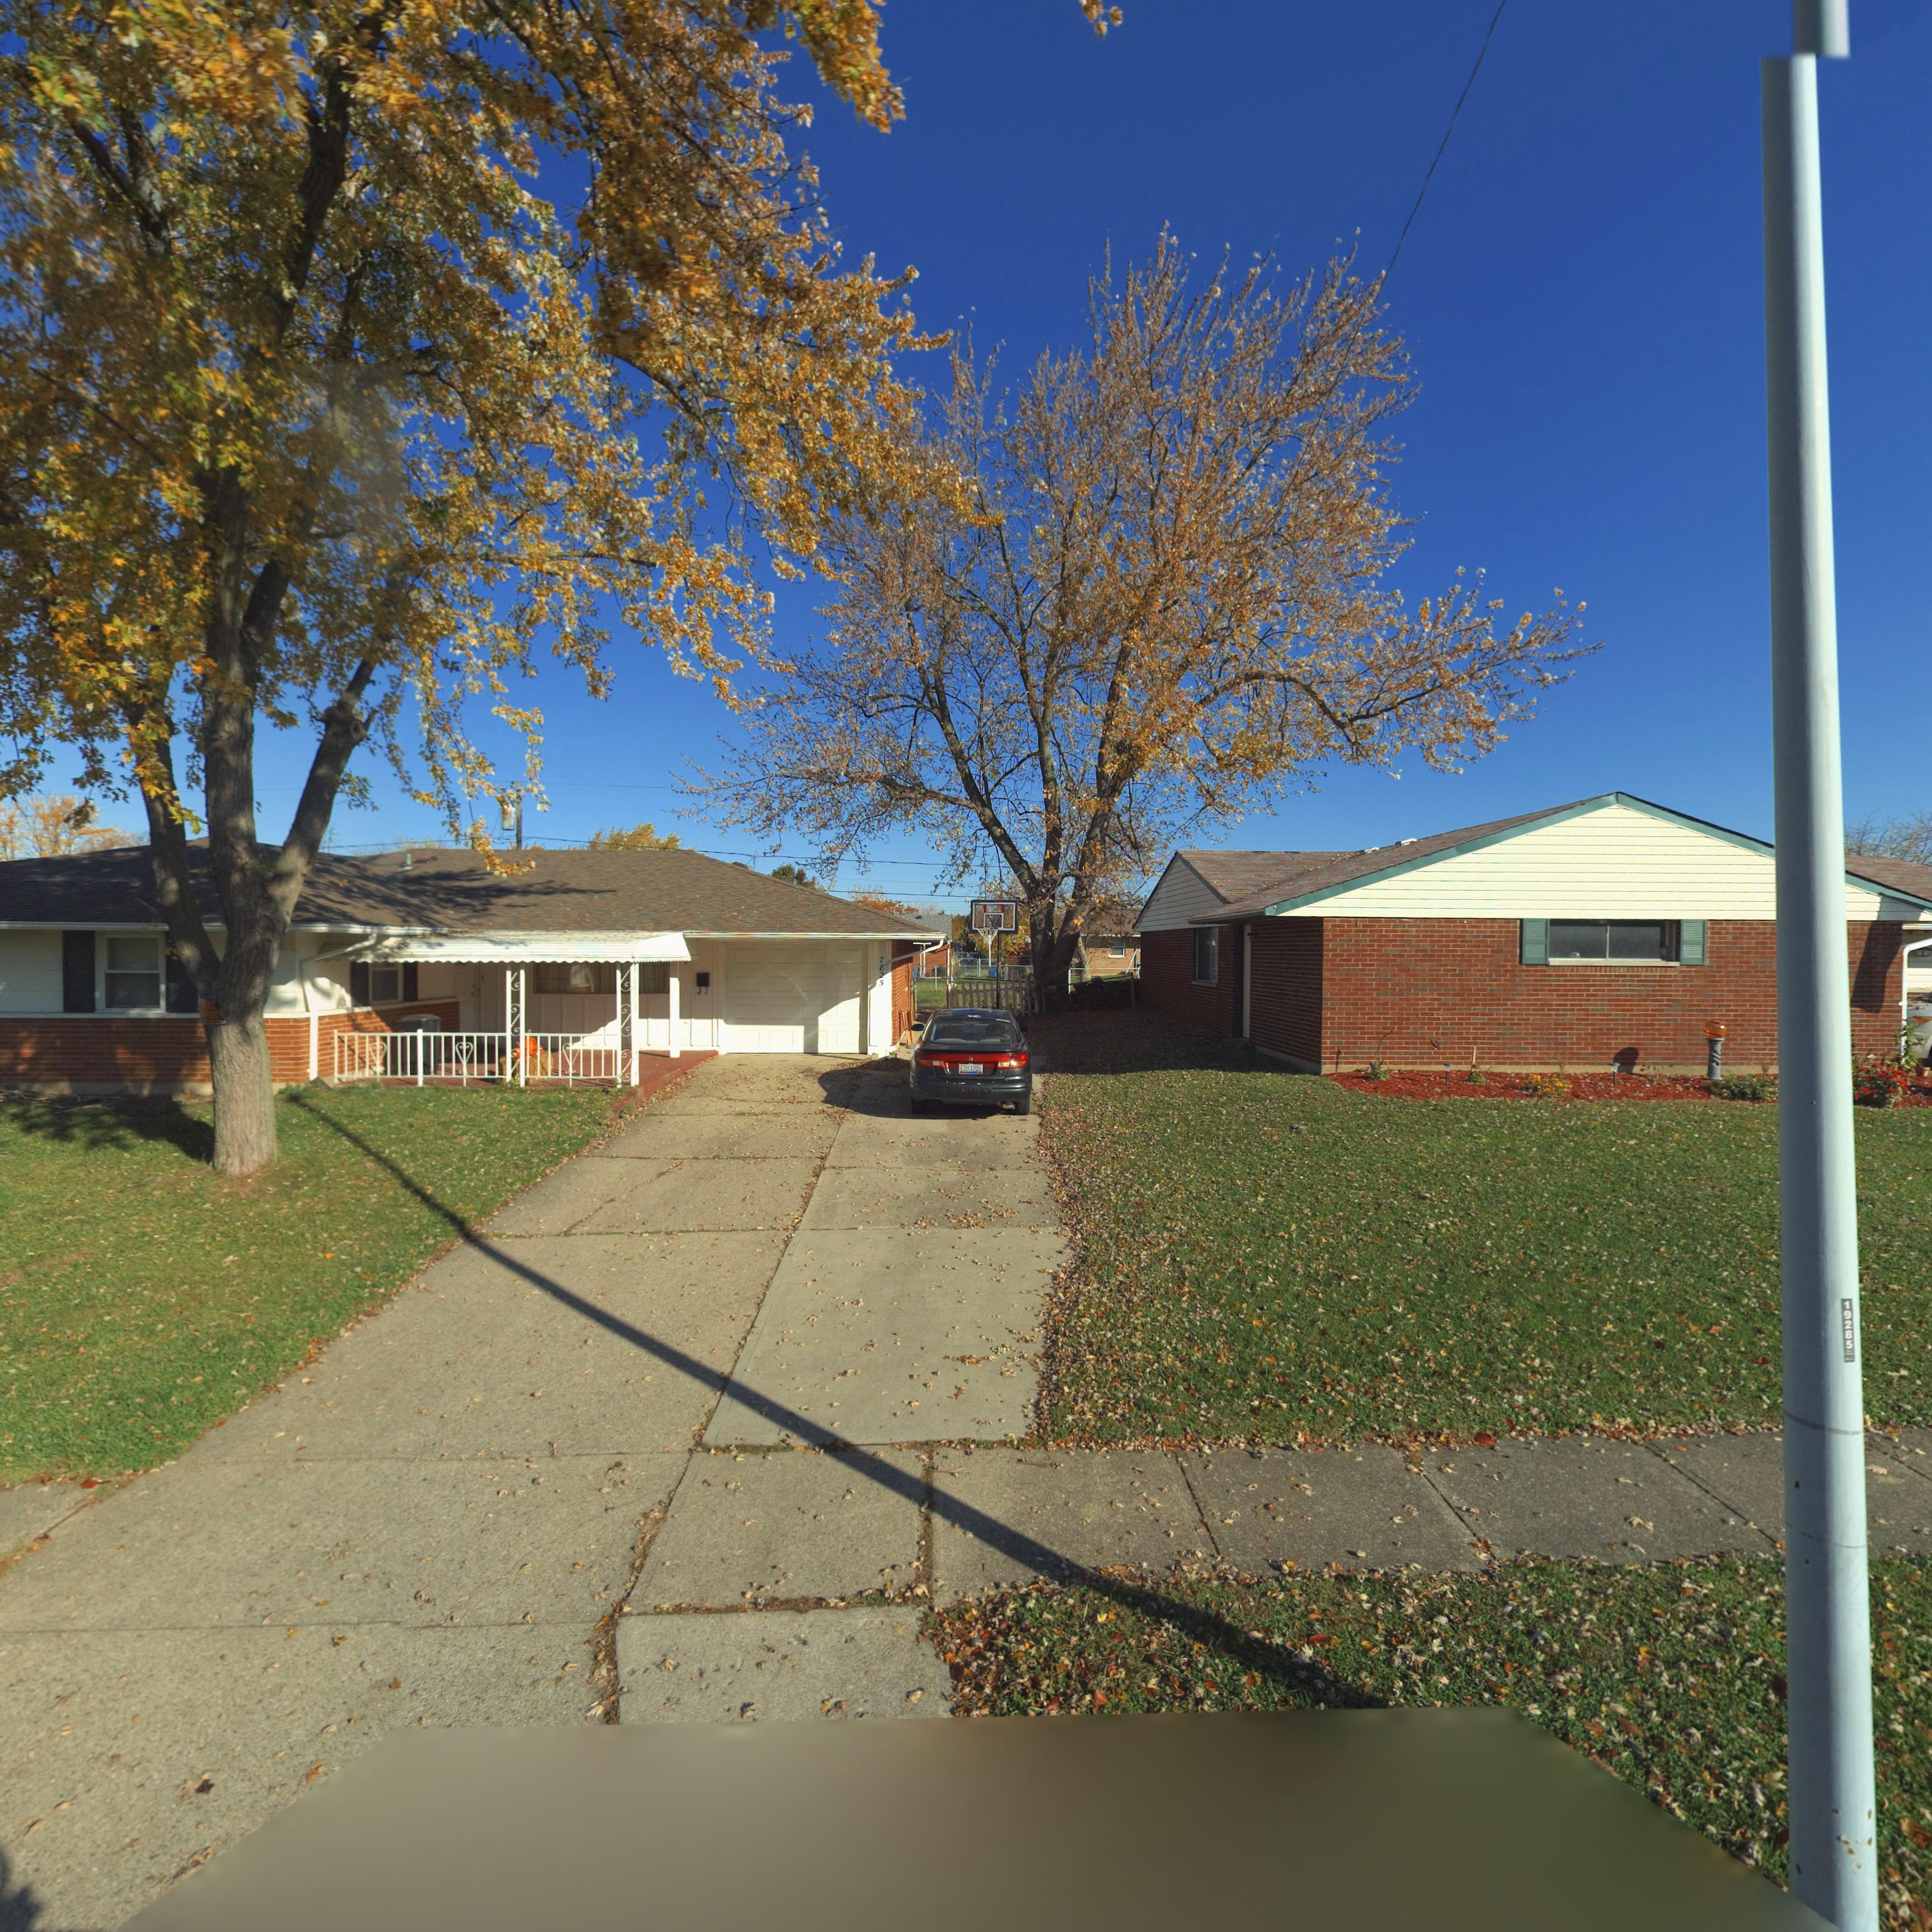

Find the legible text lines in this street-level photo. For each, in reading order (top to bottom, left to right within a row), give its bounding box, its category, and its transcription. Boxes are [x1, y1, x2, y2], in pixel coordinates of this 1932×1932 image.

[878, 956, 885, 987] StreetNumber: 7825